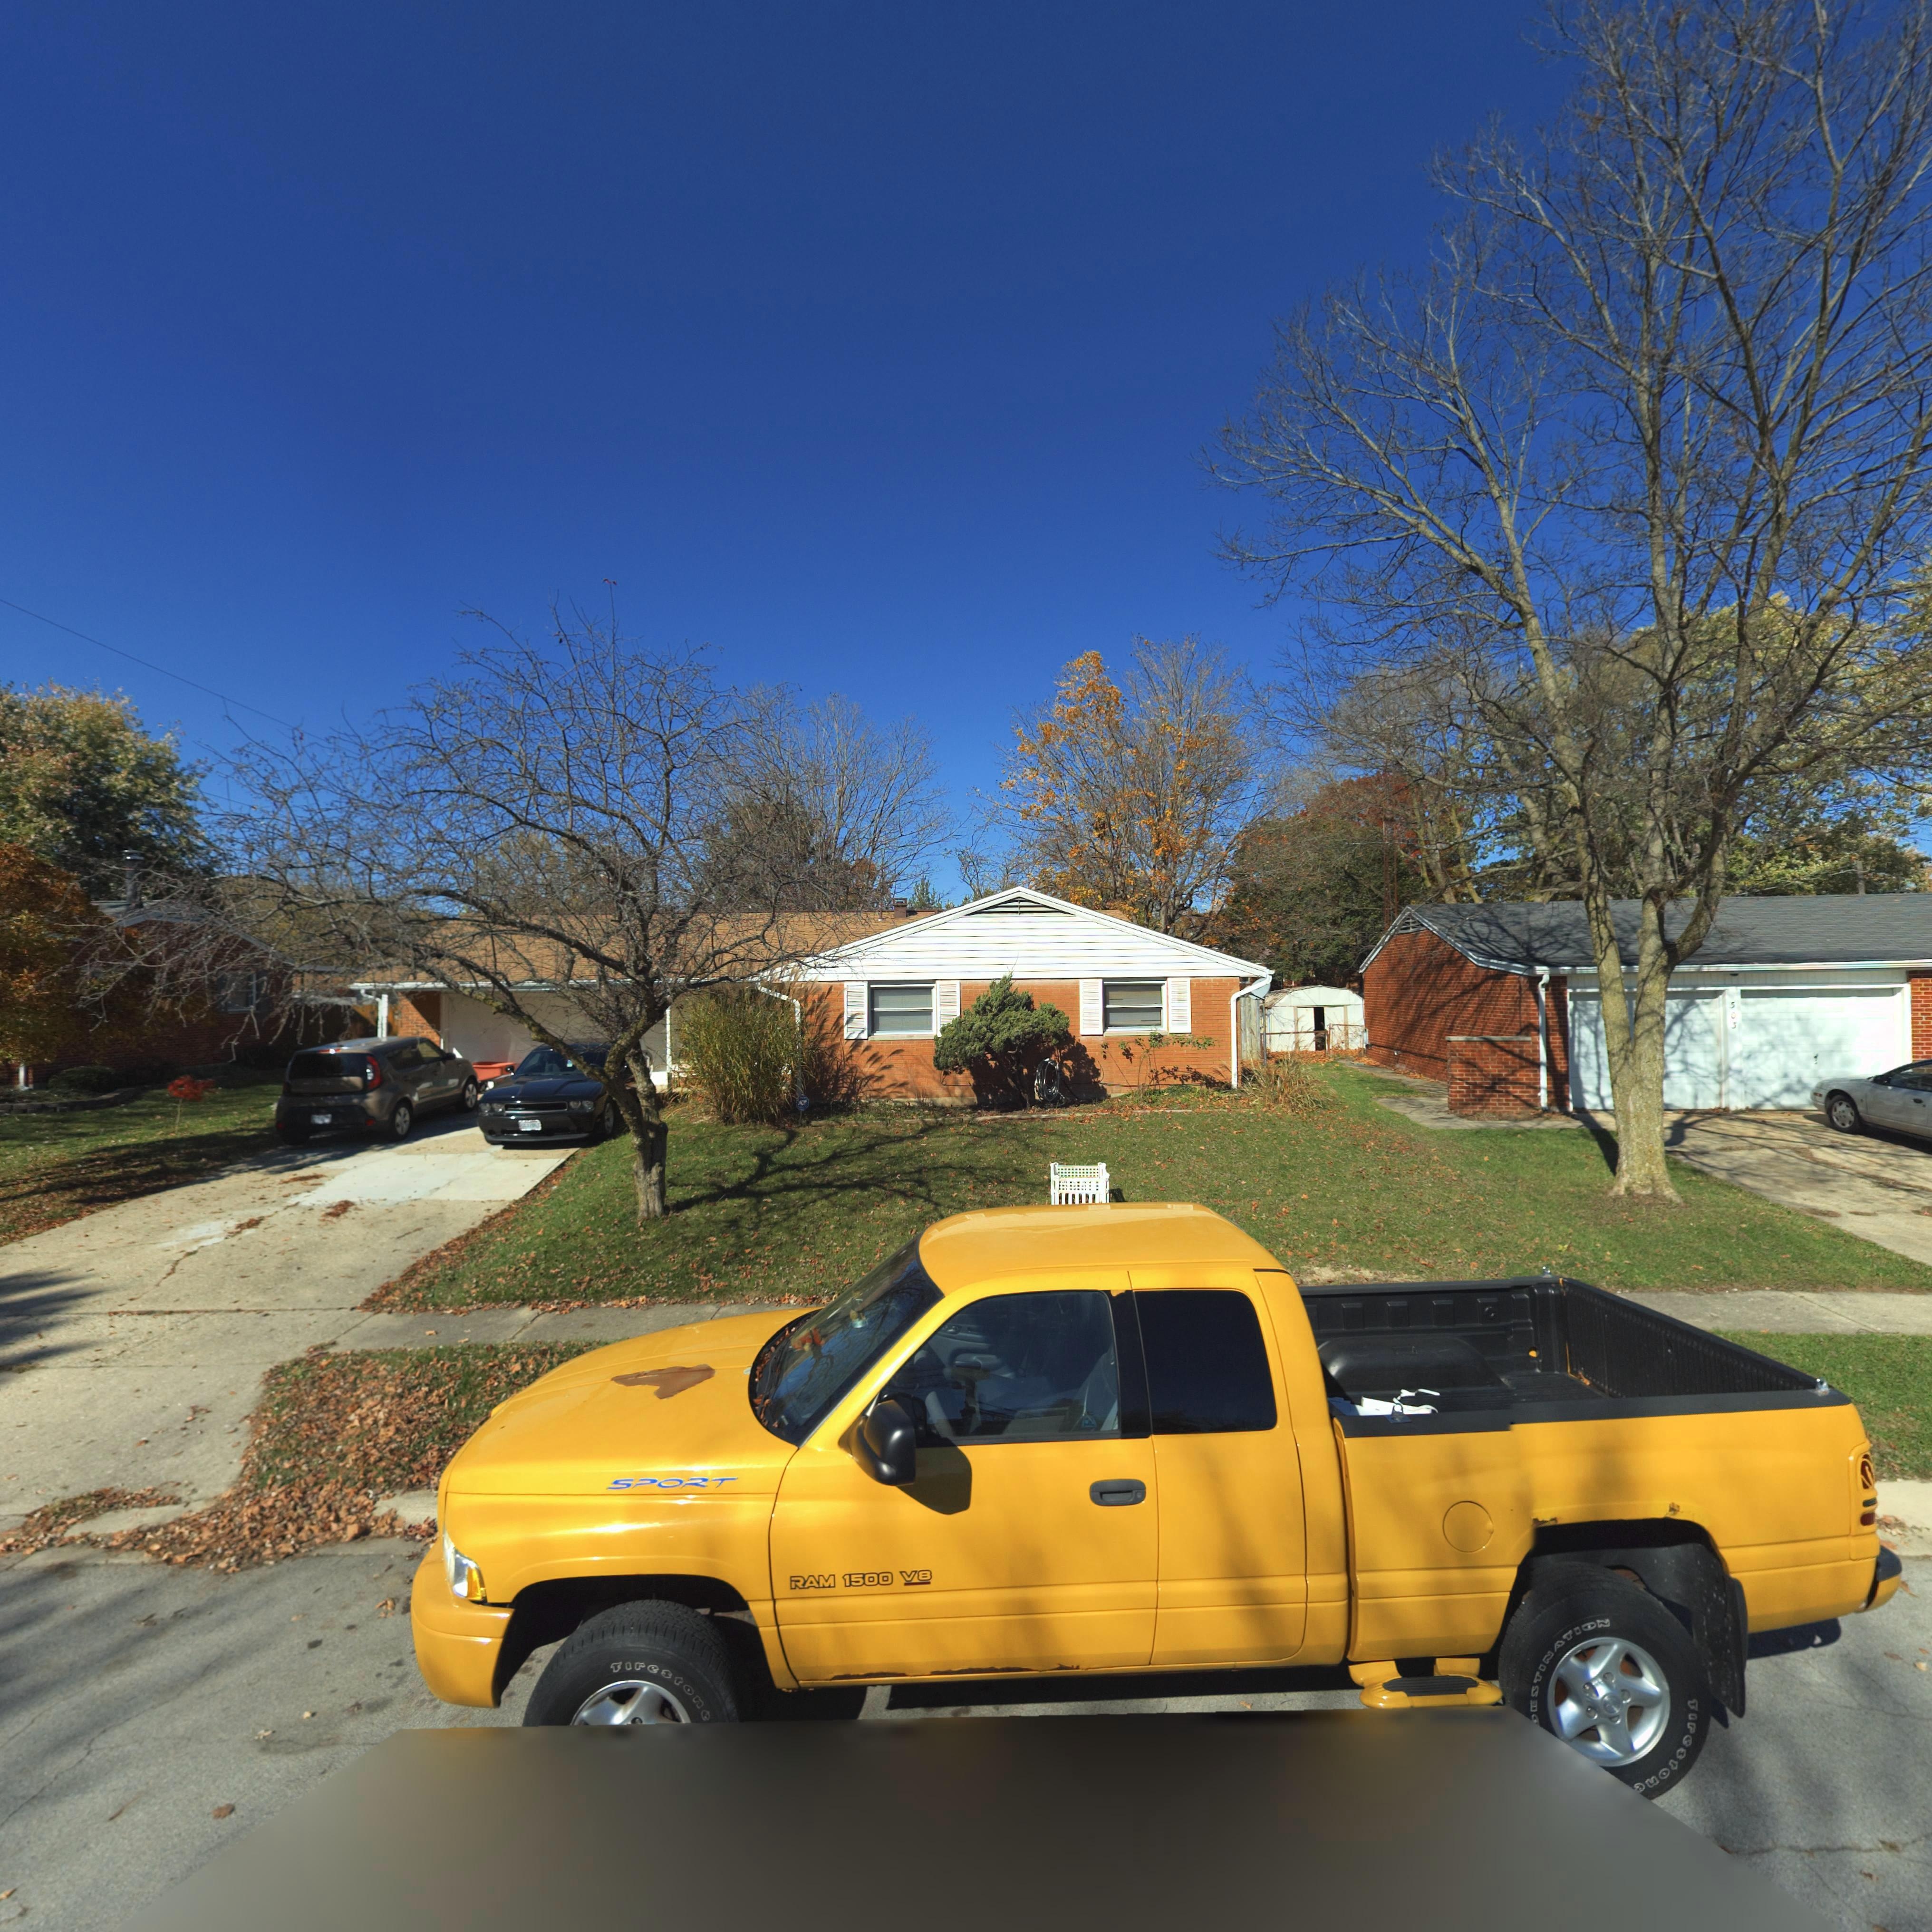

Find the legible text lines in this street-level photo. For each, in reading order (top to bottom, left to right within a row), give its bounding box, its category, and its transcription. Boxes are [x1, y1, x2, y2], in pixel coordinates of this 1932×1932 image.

[1729, 1000, 1739, 1031] StreetNumber: *03
[602, 1475, 742, 1491] None: SPORT
[788, 1568, 934, 1592] None: RAM 1500 V8
[1528, 1616, 1611, 1713] None: ESTINATION
[608, 1661, 714, 1724] None: Firestone
[1679, 1697, 1700, 1749] None: Fire